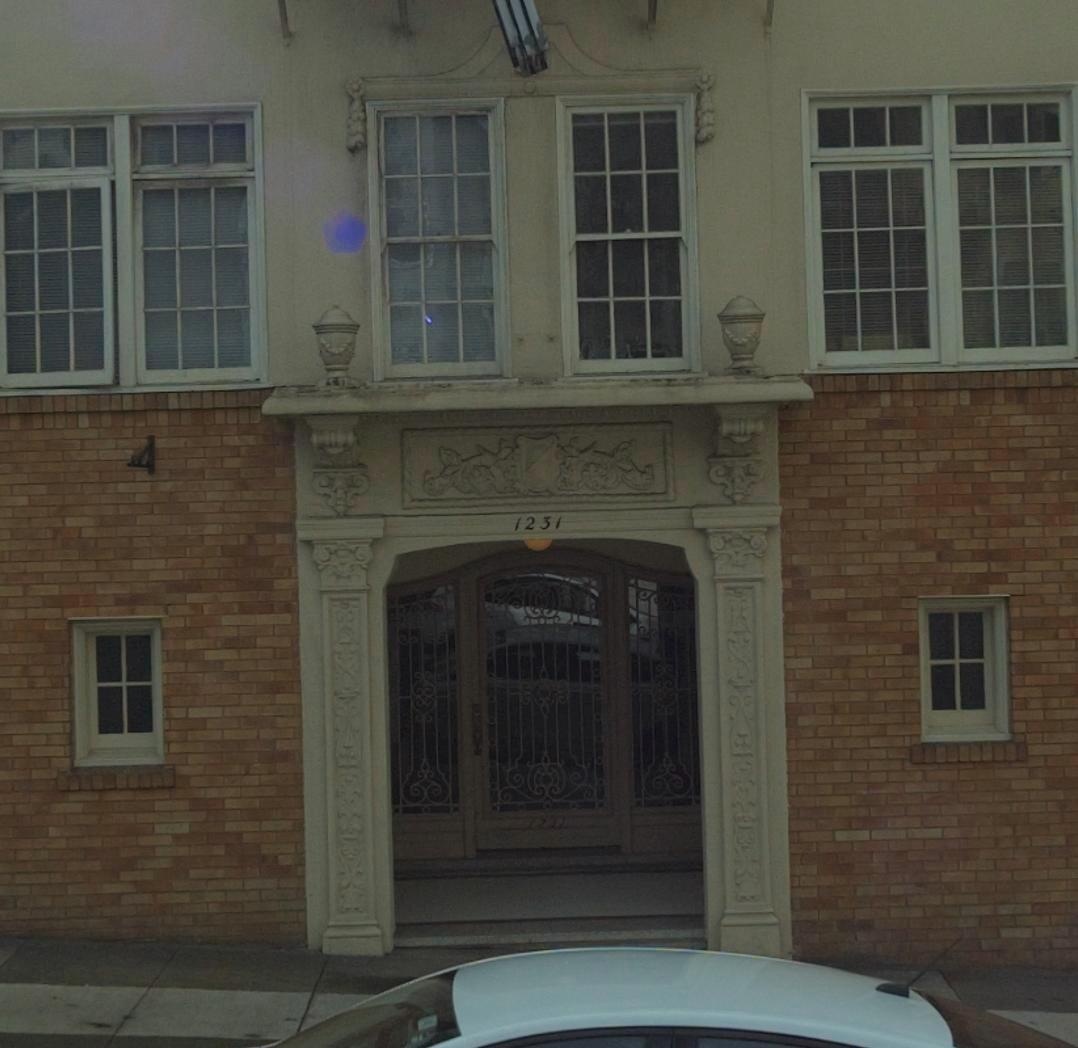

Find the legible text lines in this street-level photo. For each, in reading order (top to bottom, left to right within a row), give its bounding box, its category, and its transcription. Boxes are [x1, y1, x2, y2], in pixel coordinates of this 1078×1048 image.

[511, 513, 564, 533] StreetNumber: 1231